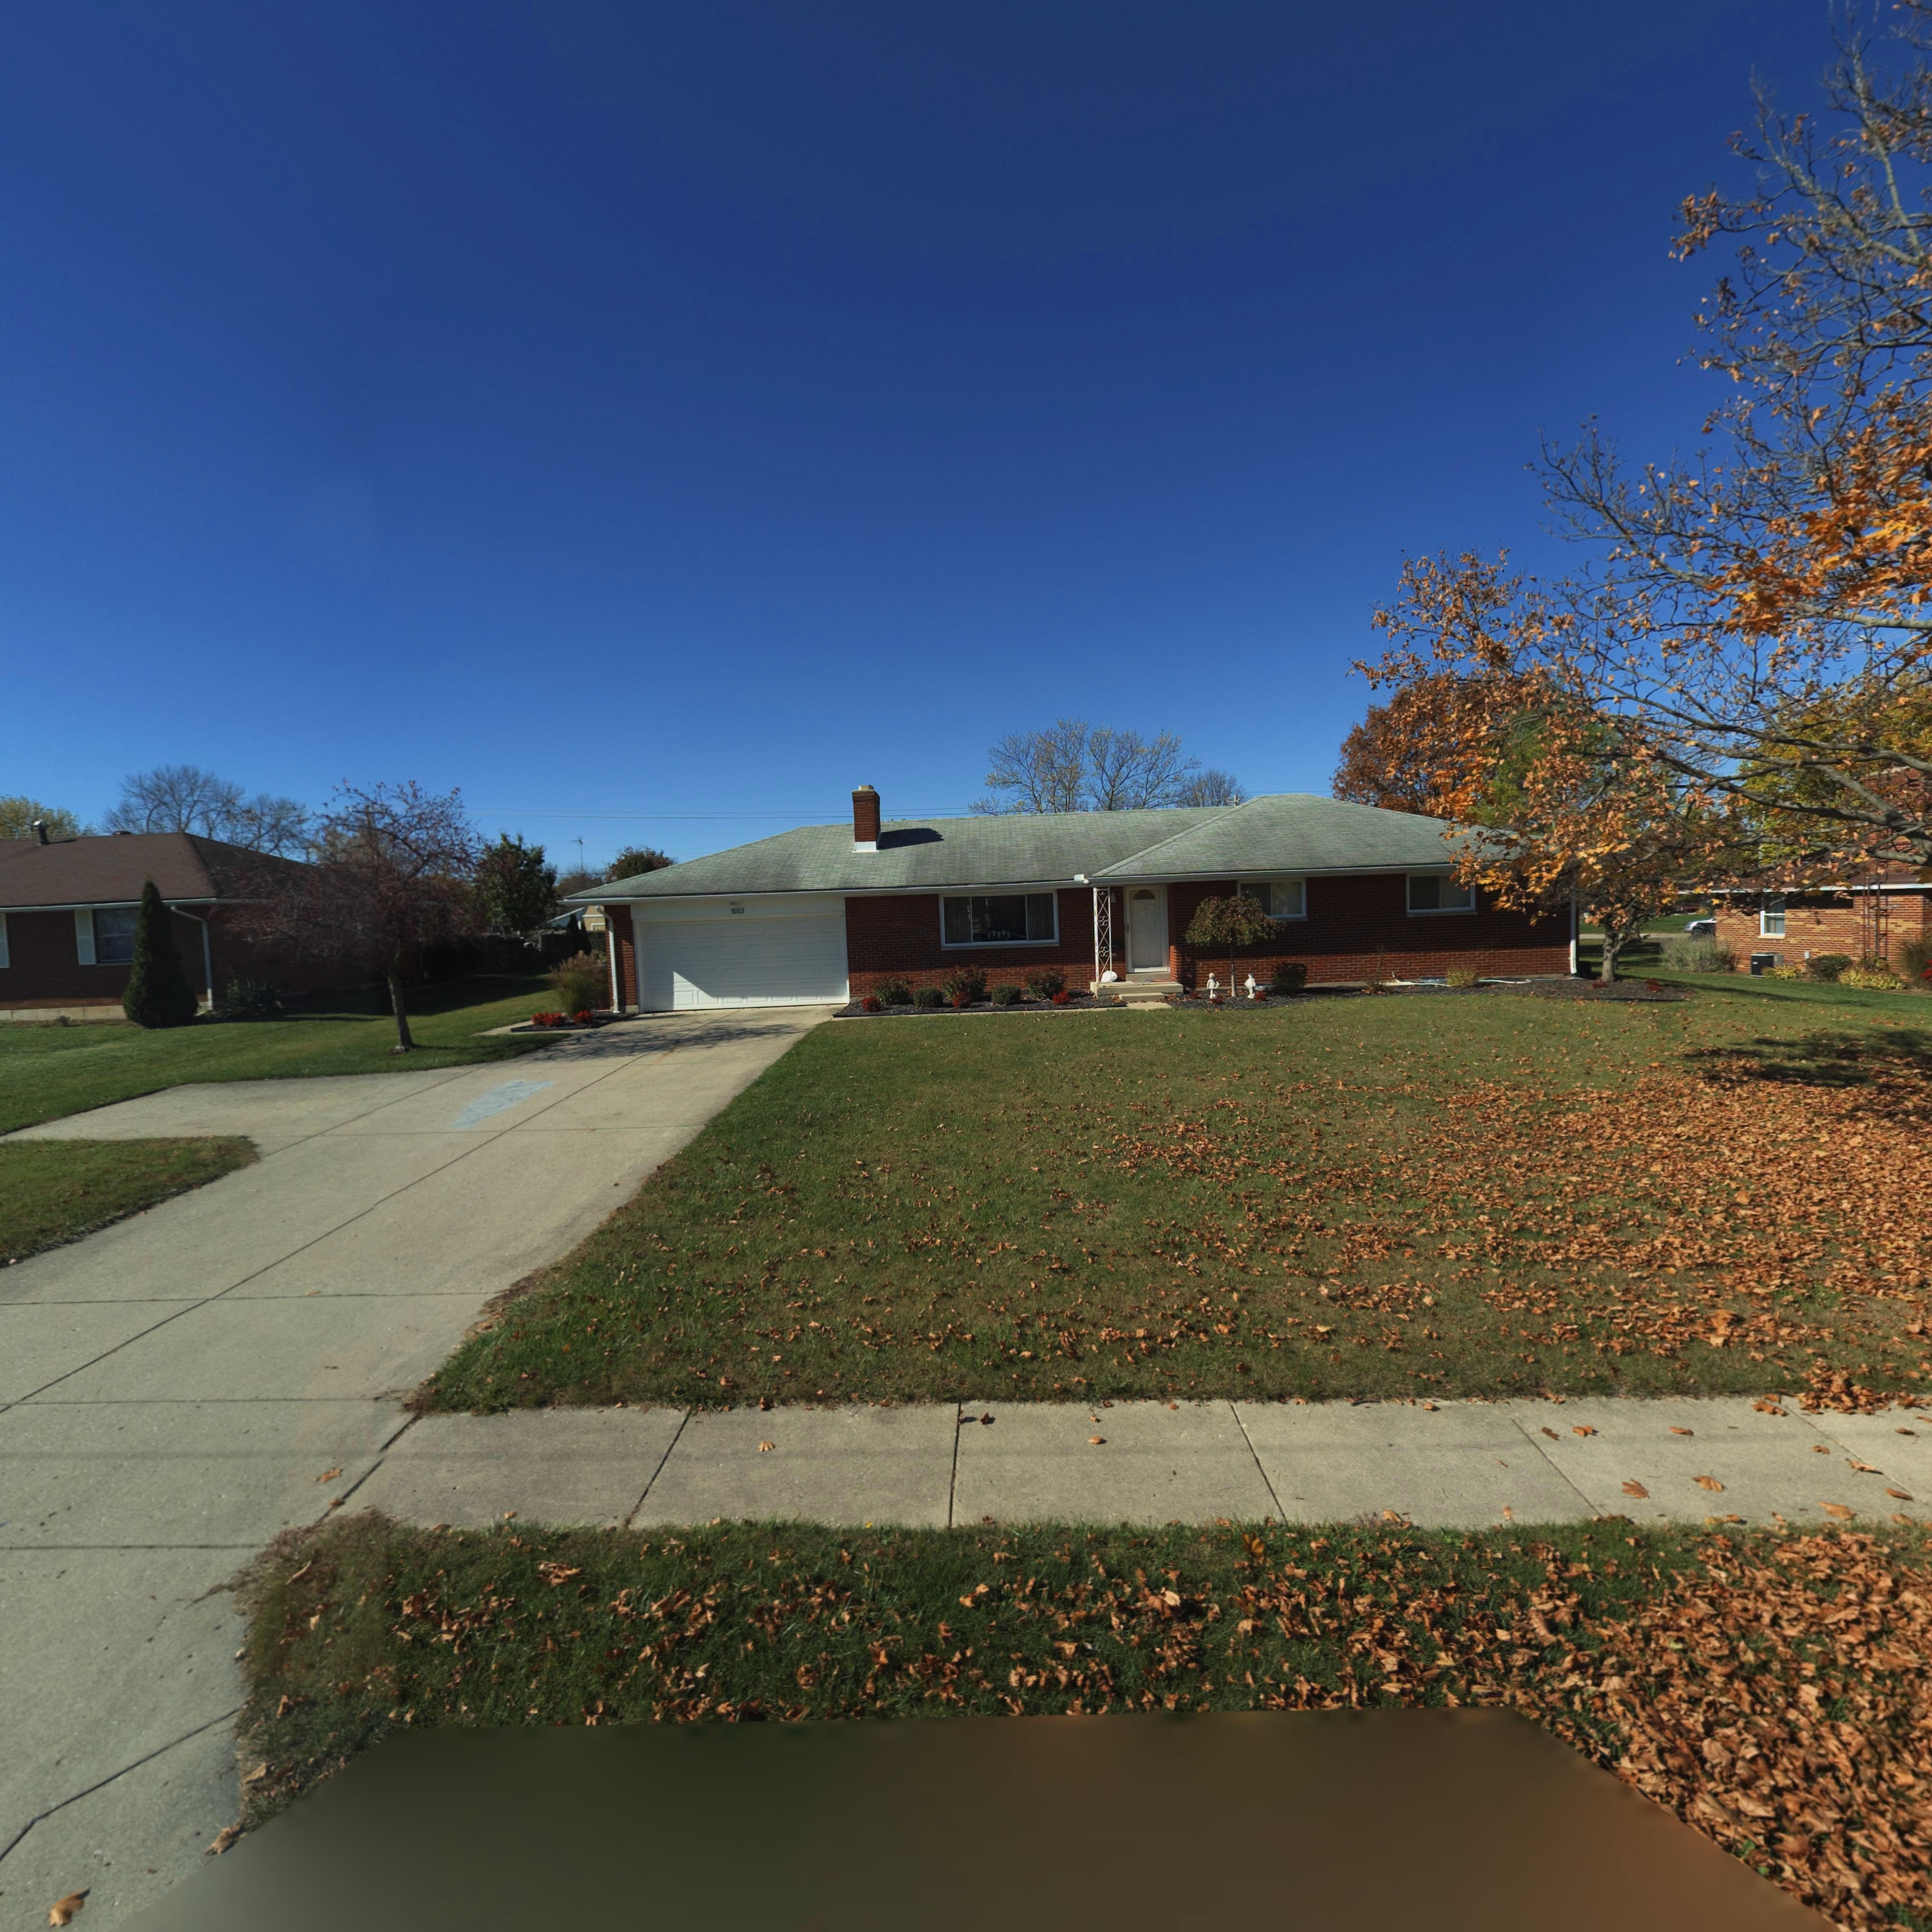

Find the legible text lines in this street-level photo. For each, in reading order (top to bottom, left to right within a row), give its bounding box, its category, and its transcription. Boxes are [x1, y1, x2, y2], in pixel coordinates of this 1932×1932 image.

[730, 907, 745, 915] StreetNumber: 1005